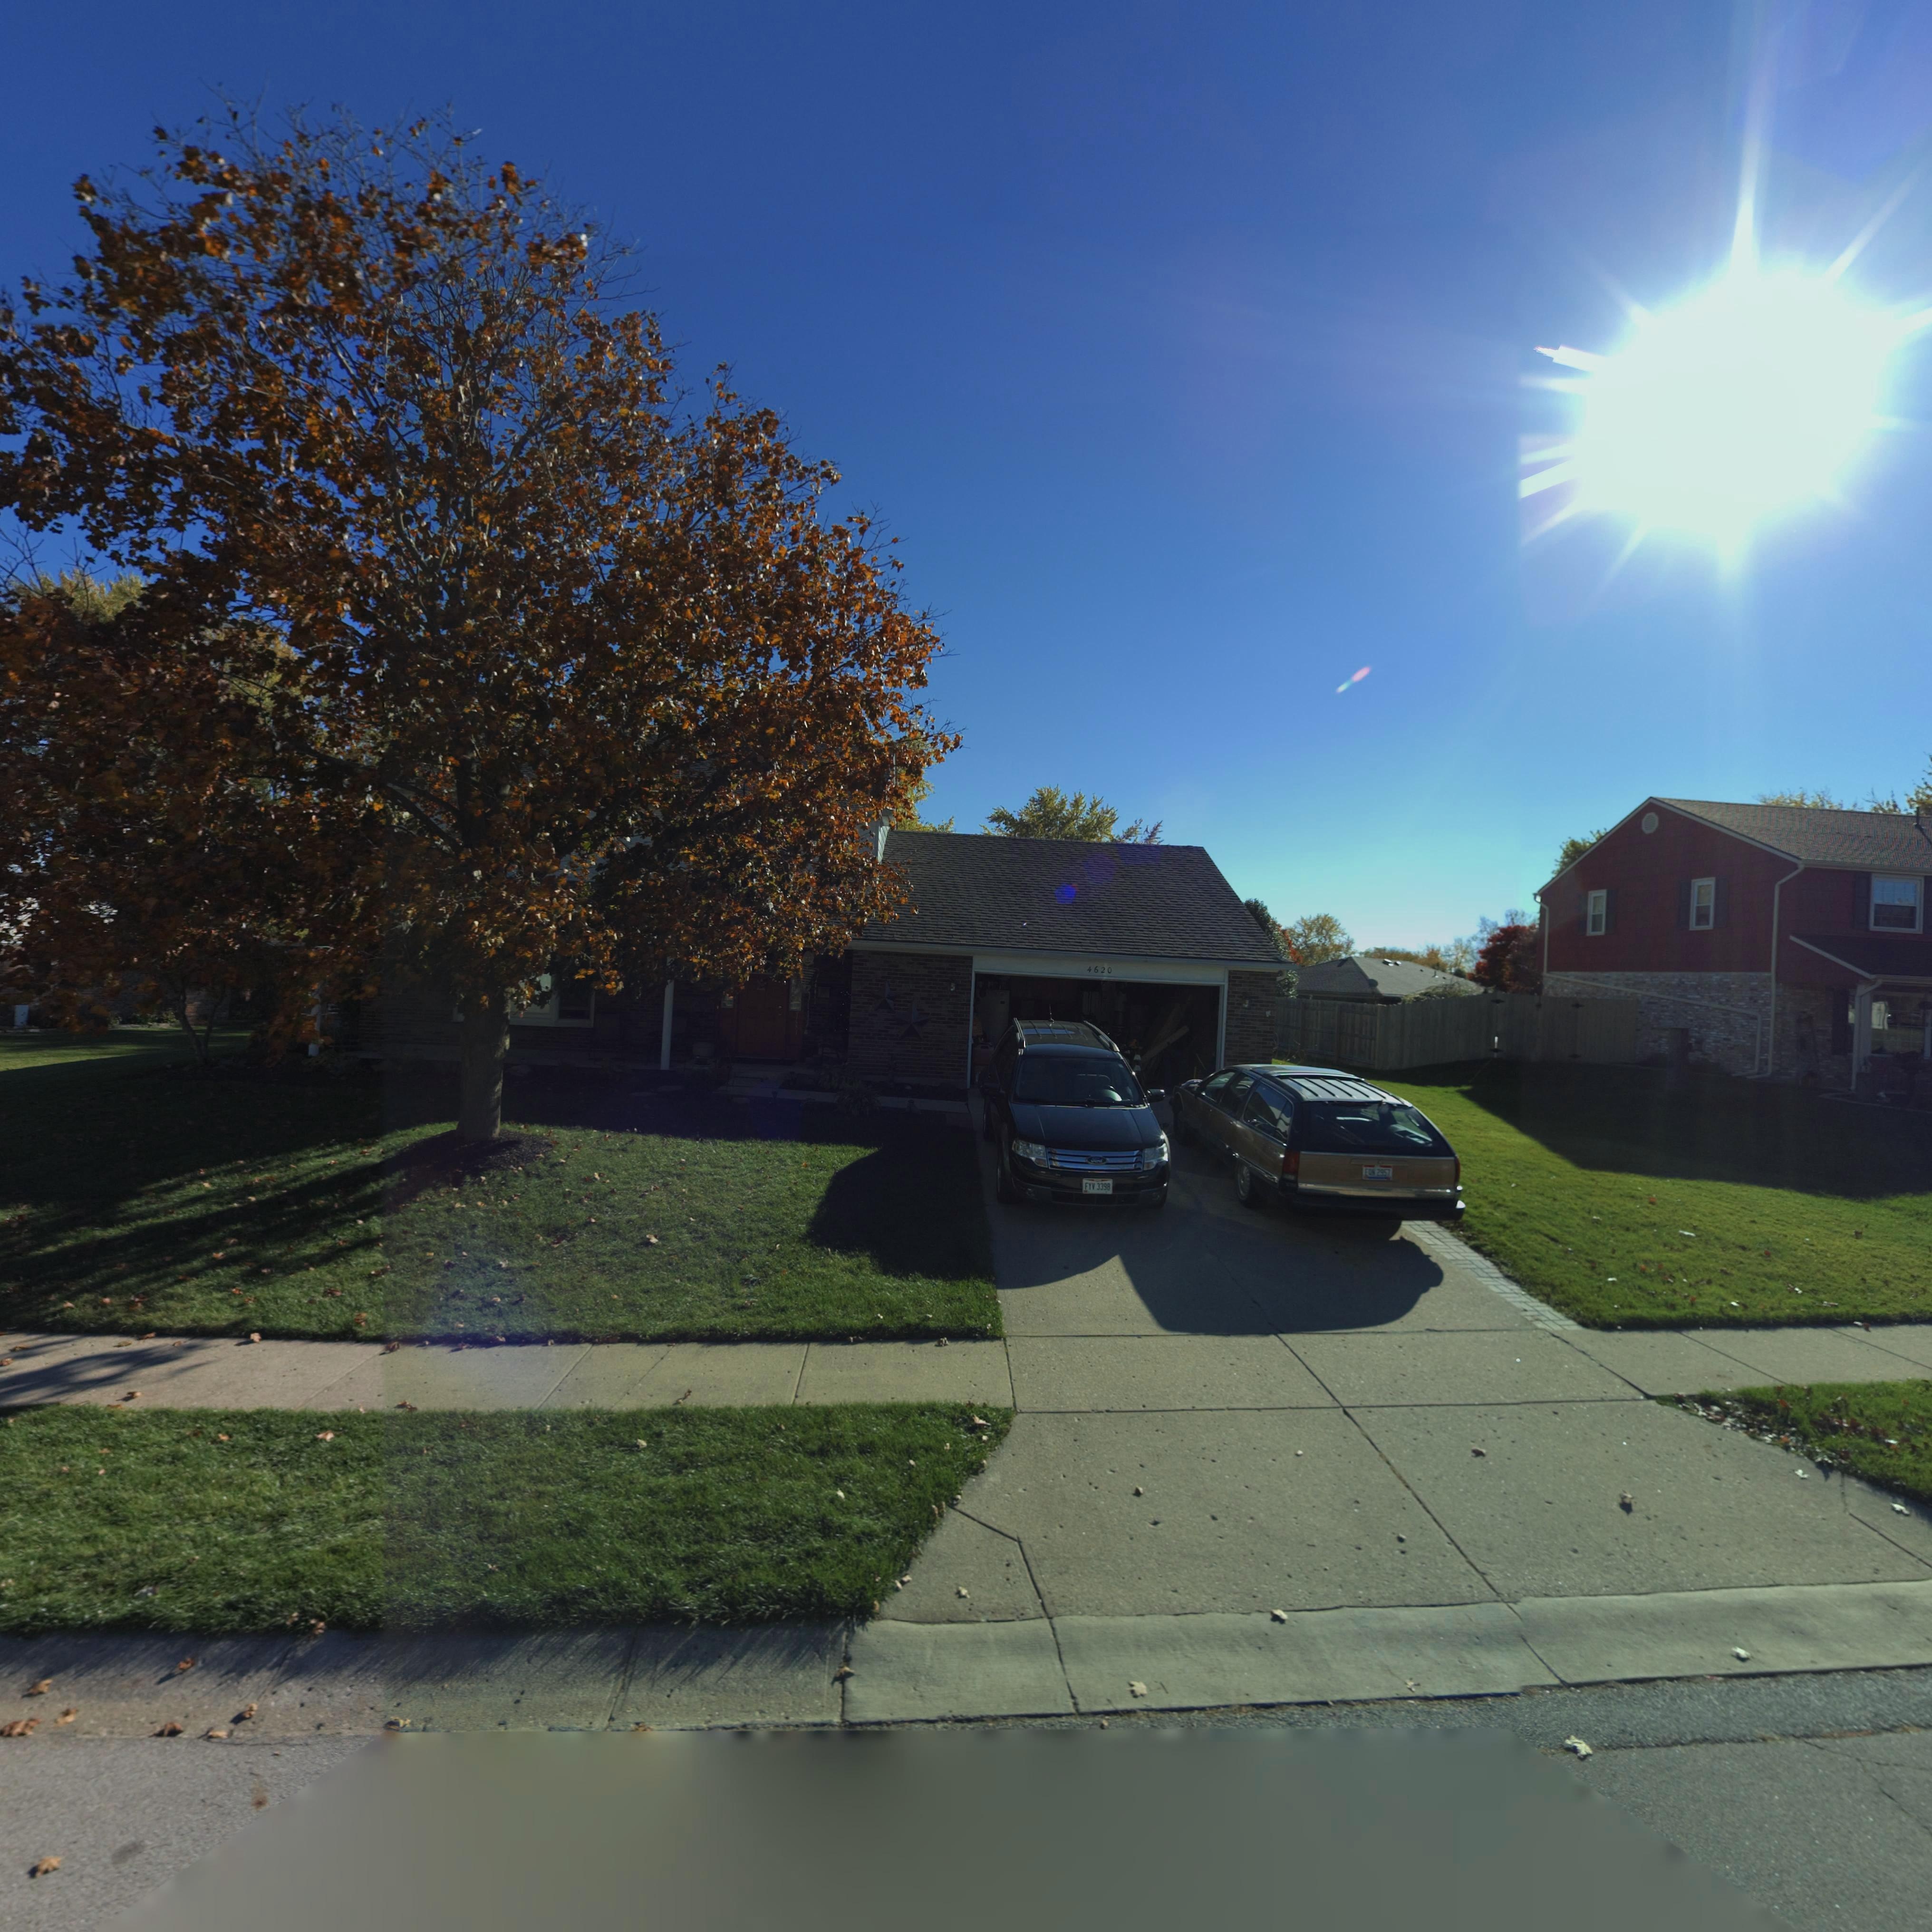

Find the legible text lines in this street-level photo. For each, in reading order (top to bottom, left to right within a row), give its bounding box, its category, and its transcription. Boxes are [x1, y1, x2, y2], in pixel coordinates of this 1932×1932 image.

[1086, 965, 1113, 974] StreetNumber: 4620